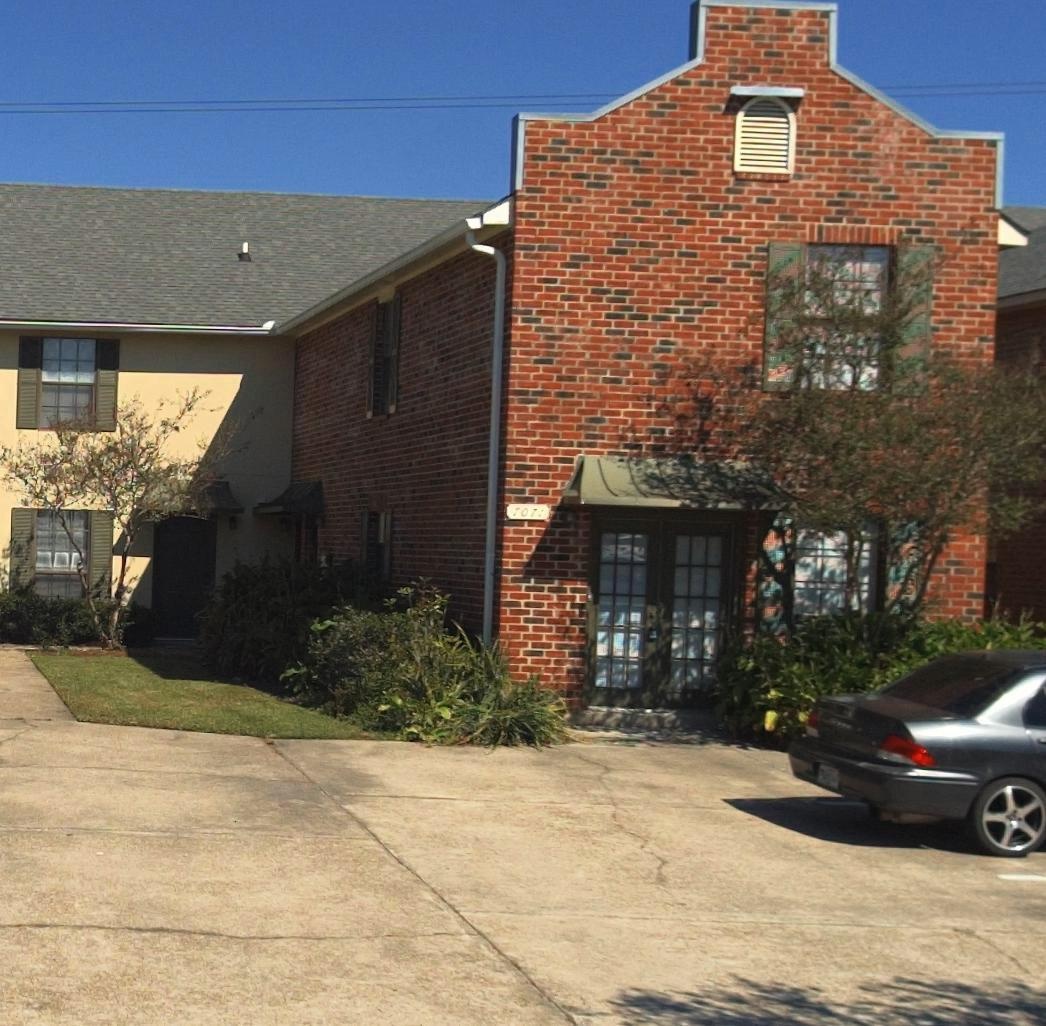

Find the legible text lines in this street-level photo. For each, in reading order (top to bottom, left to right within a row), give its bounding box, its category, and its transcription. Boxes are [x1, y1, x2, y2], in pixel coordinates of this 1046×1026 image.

[509, 504, 548, 520] StreetNumber: 7071